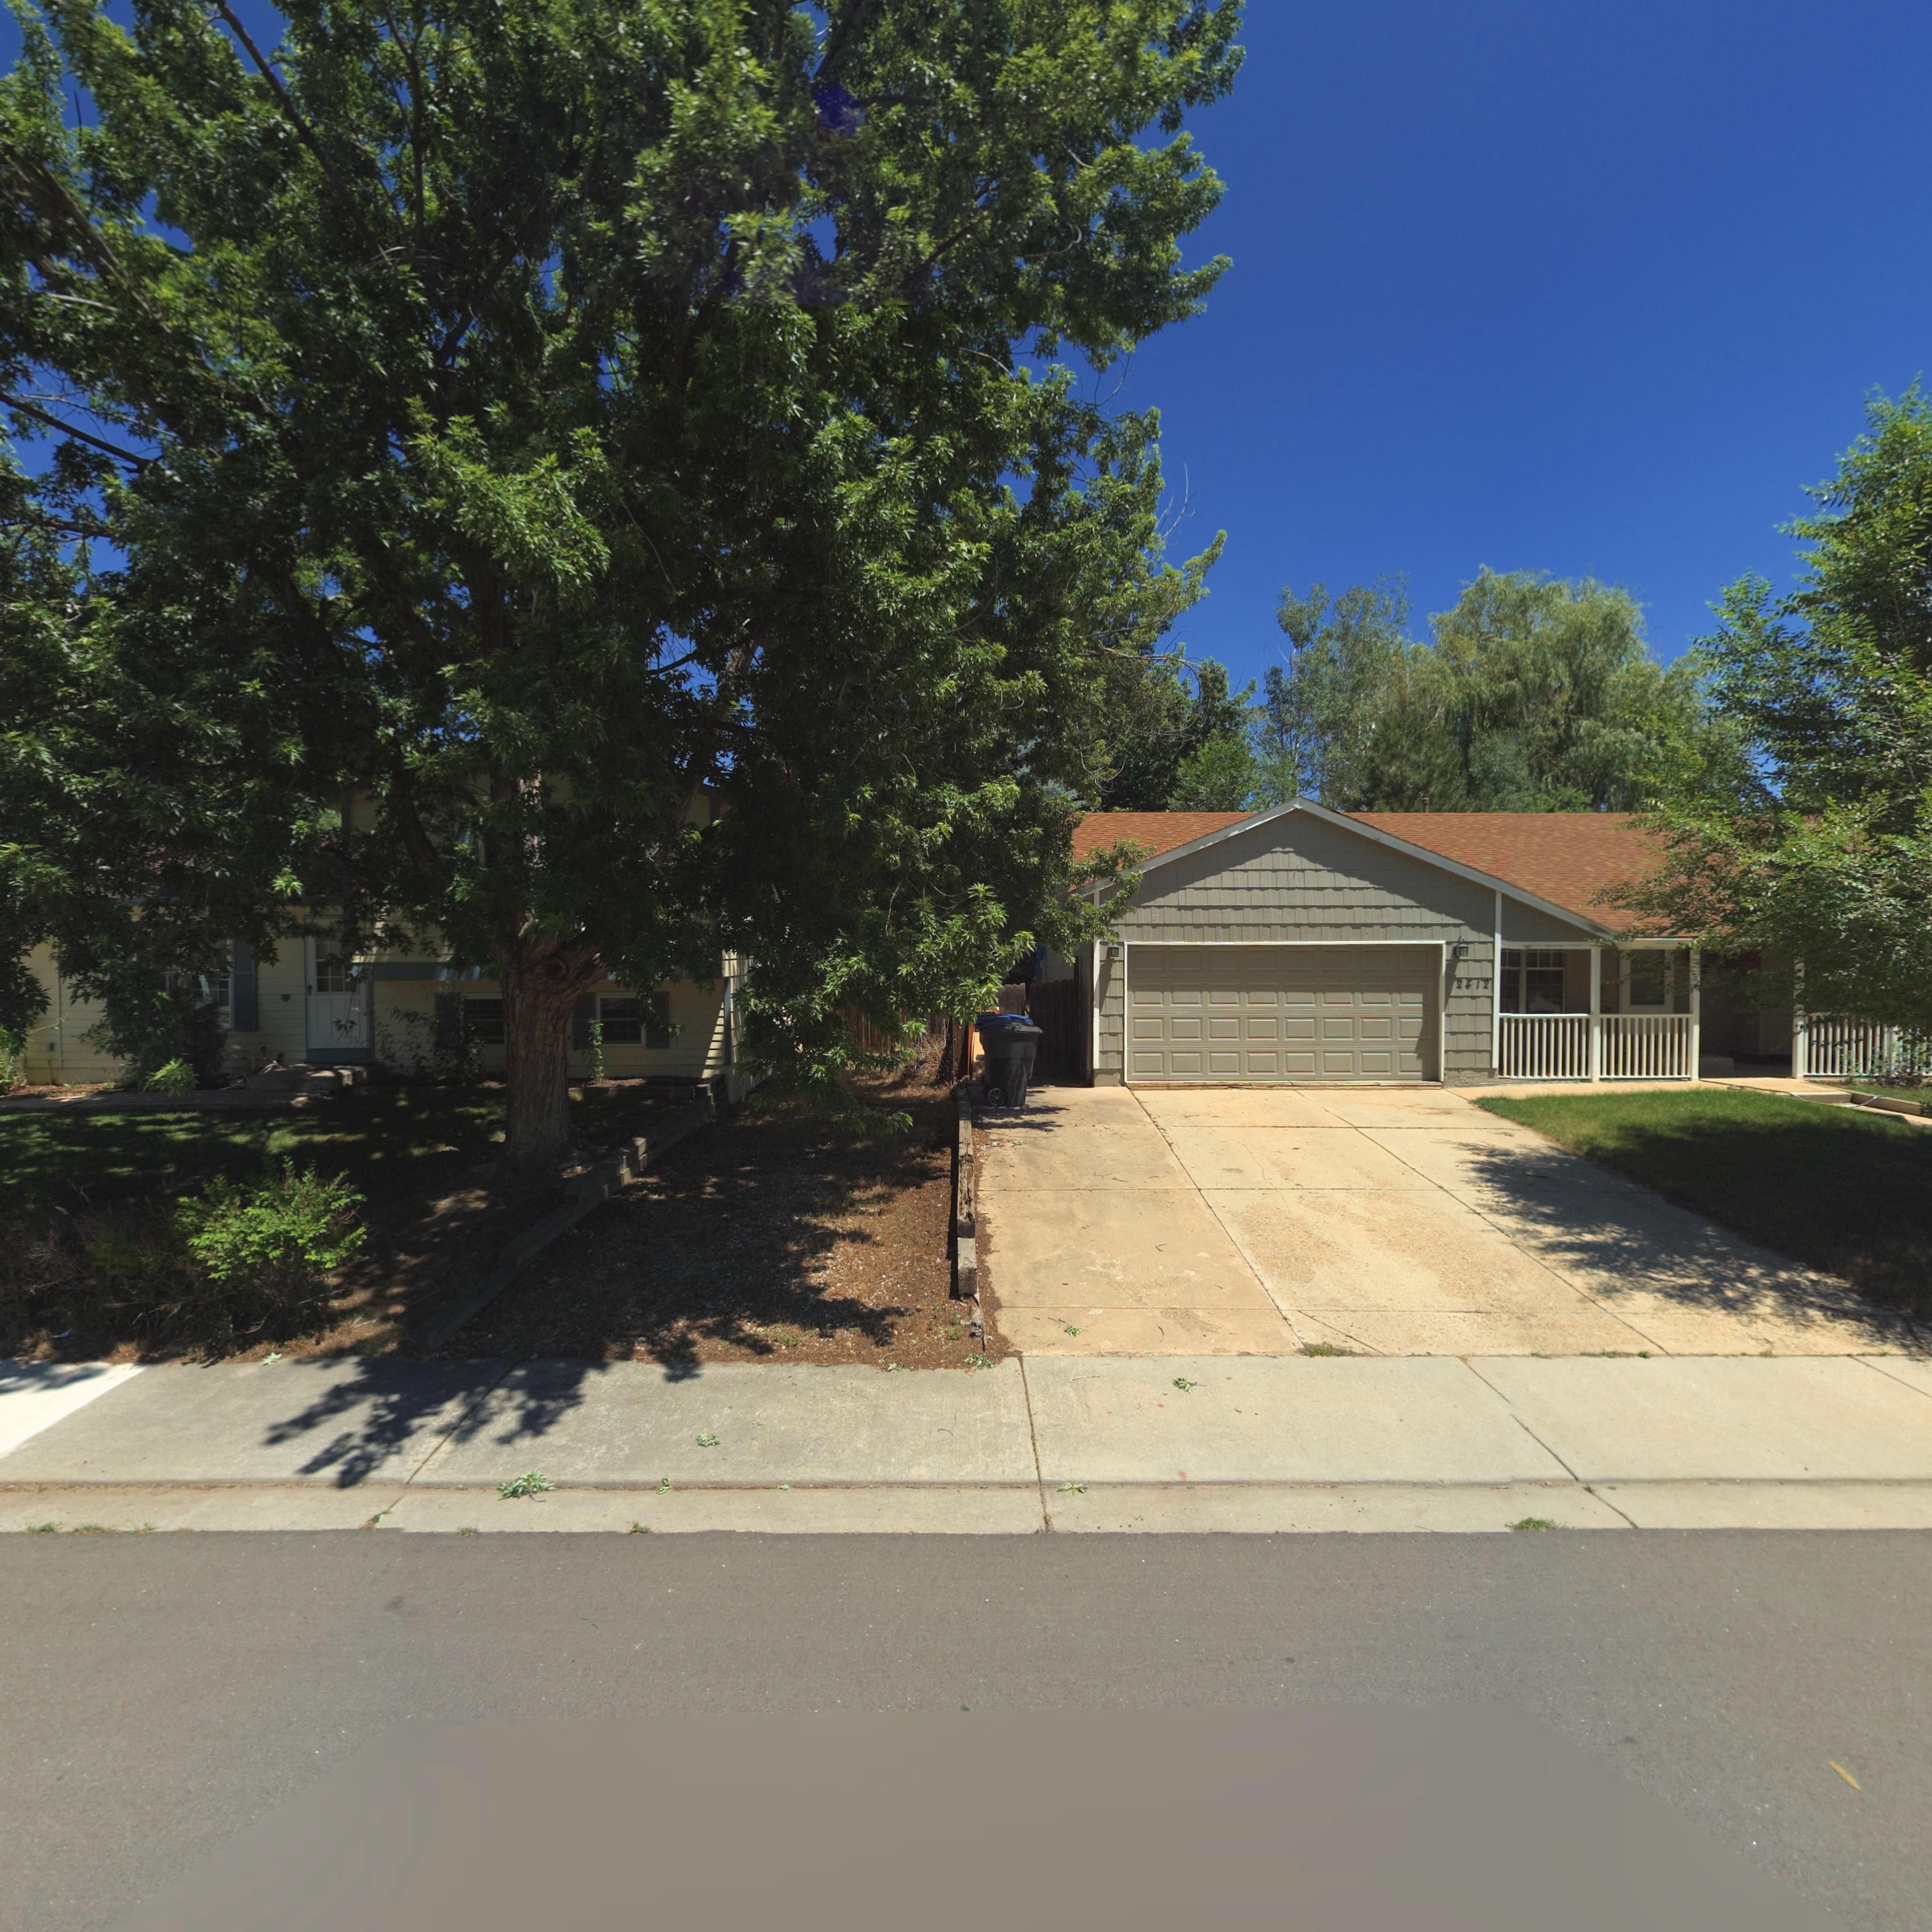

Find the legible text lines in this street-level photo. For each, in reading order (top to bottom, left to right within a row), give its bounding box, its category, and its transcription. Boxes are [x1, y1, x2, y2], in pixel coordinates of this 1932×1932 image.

[1456, 978, 1490, 990] StreetNumber: 2412